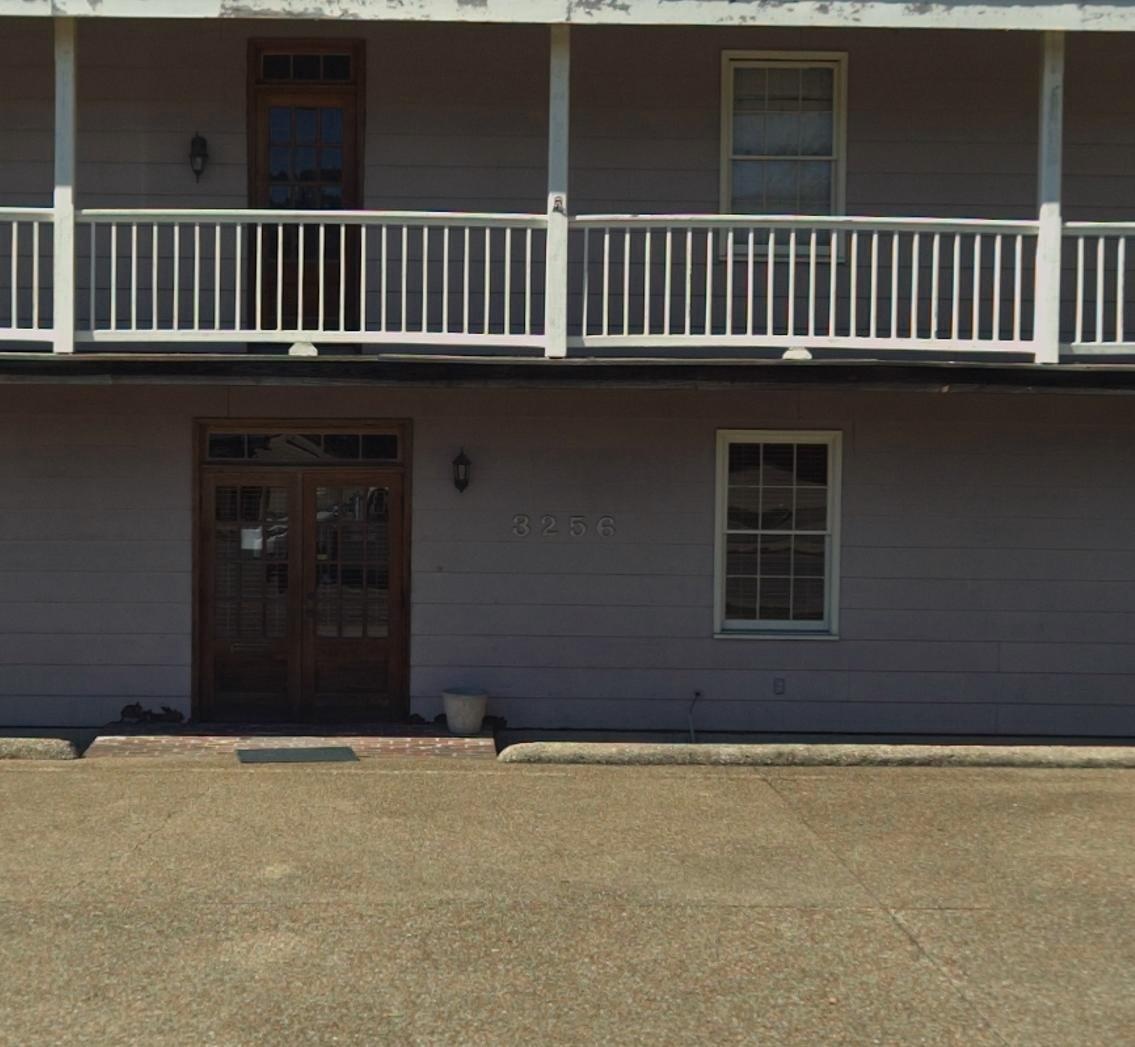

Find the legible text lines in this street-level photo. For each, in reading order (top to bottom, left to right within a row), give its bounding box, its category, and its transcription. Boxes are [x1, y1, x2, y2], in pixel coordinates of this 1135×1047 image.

[510, 514, 616, 539] StreetNumber: 3256